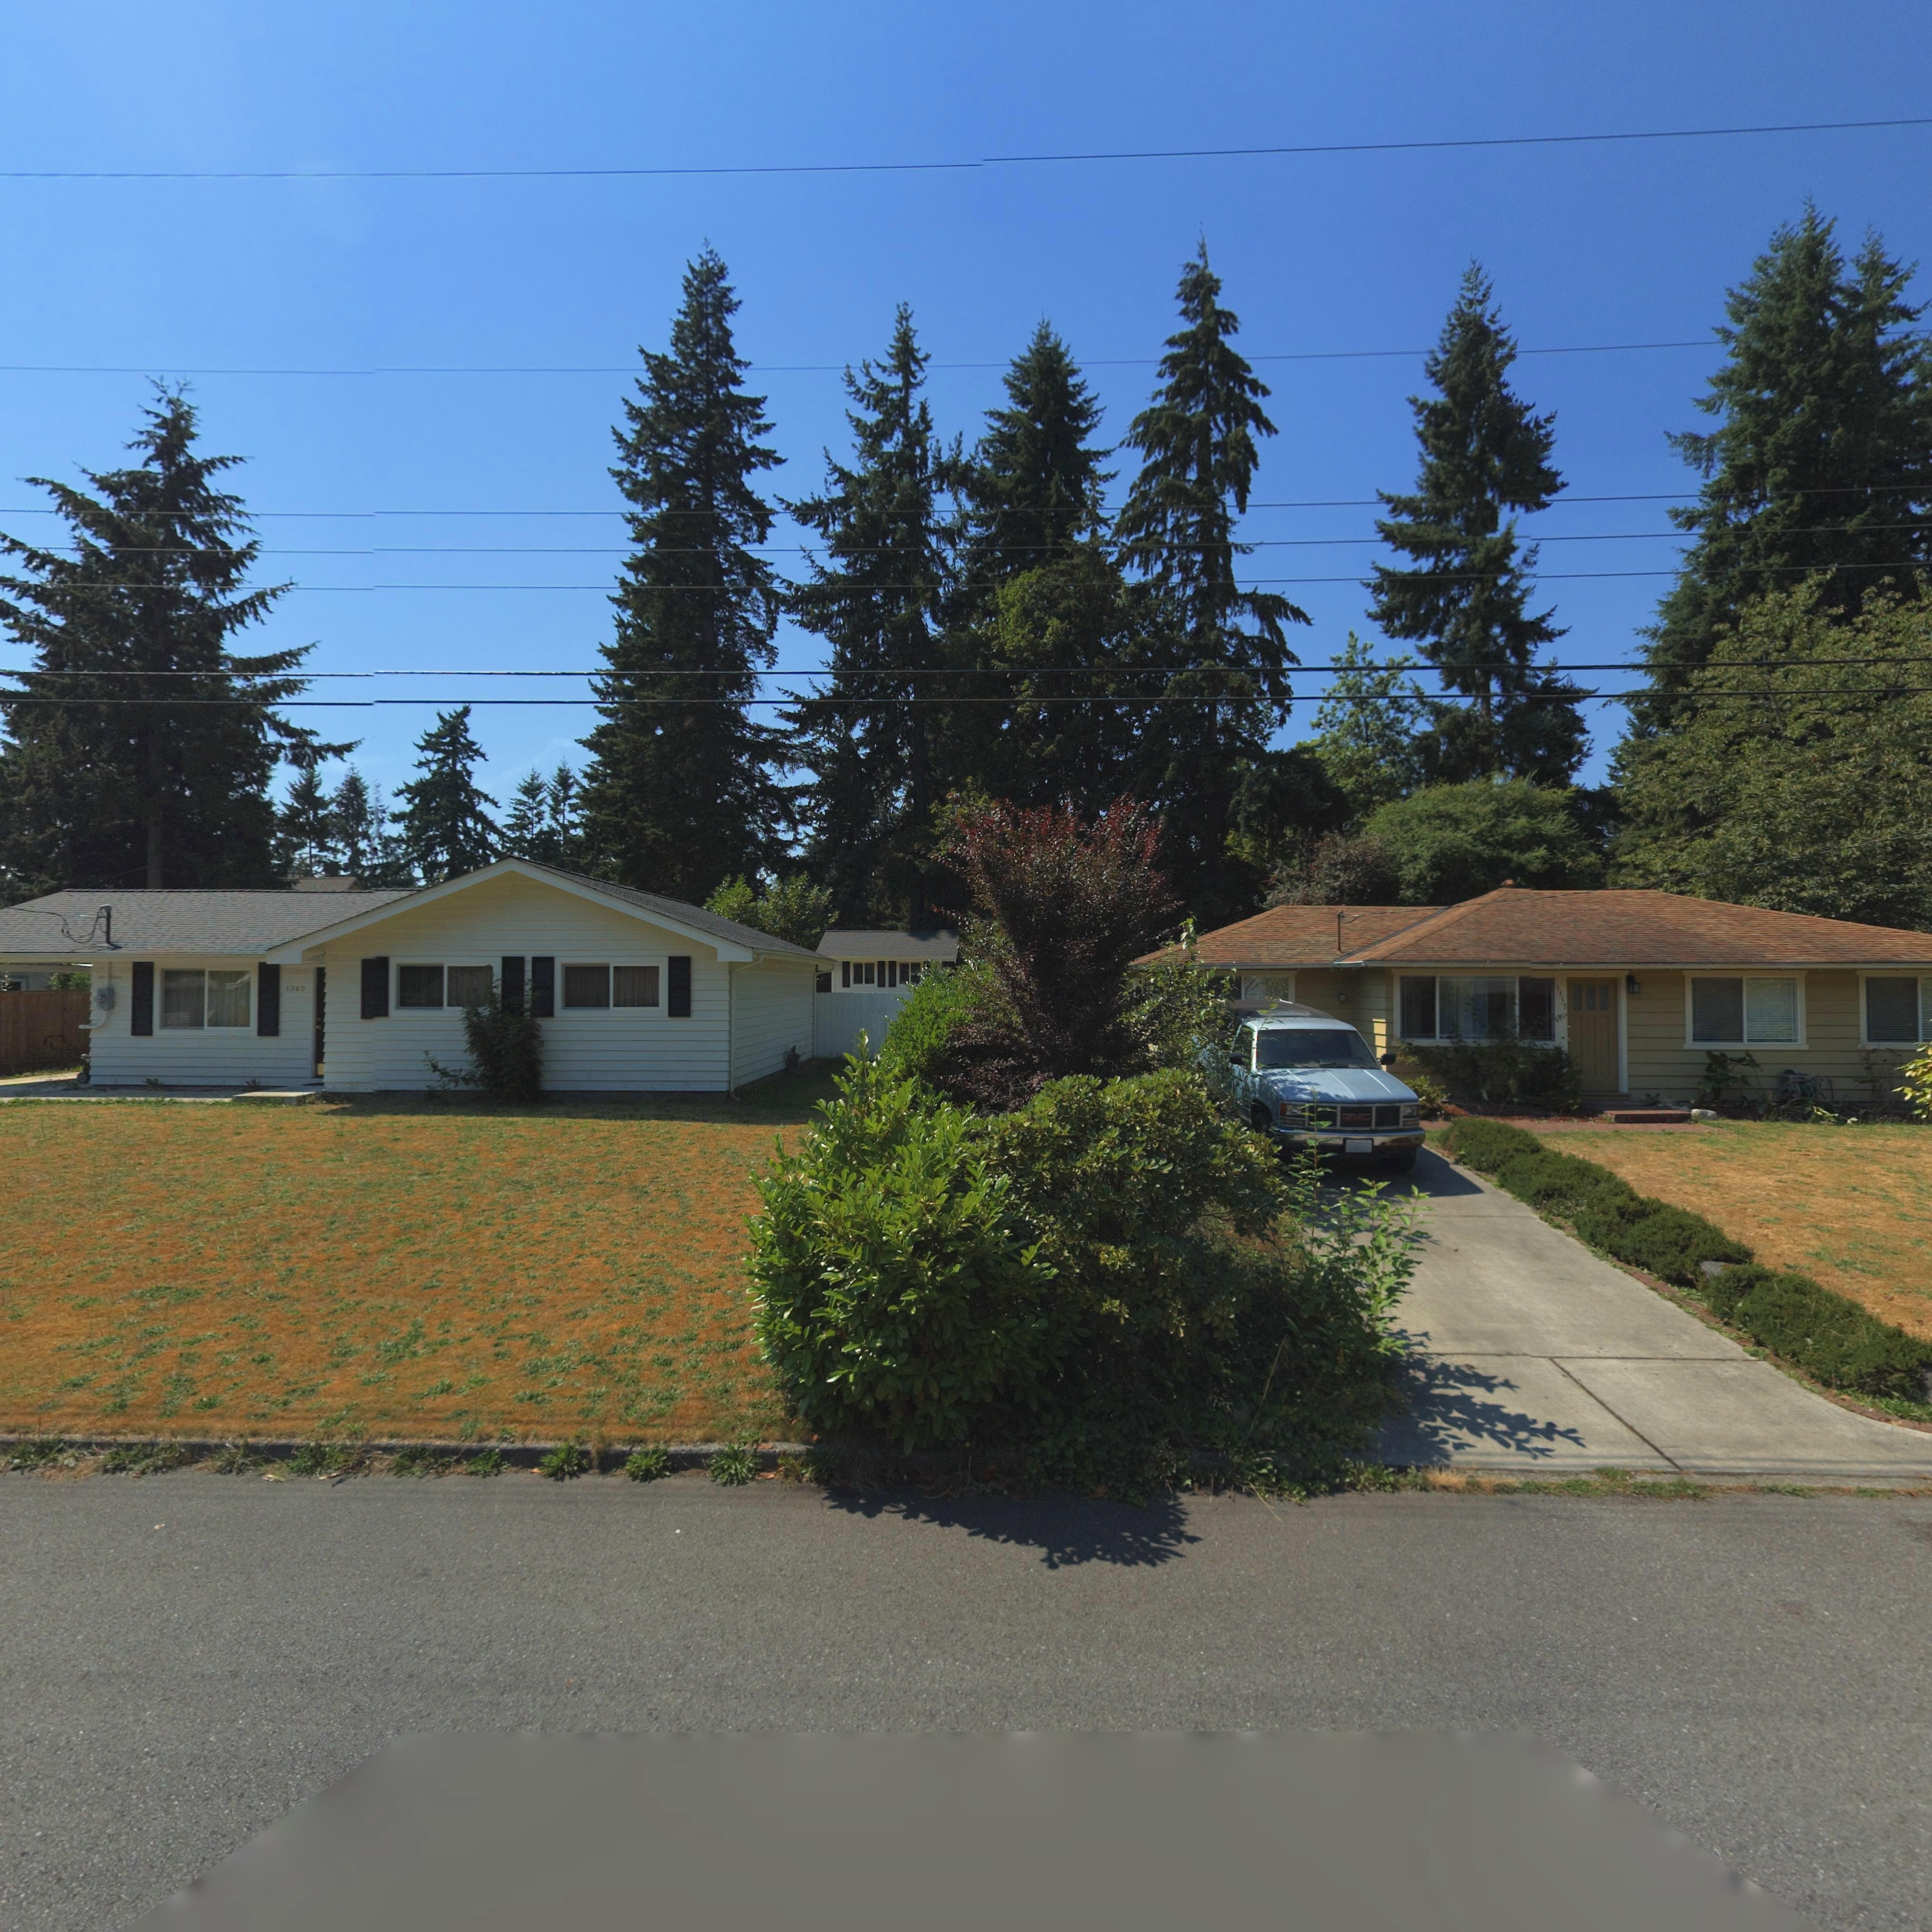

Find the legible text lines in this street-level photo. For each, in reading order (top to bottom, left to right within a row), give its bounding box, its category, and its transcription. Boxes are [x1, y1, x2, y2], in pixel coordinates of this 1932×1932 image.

[286, 985, 306, 992] StreetNumber: 1345
[1555, 982, 1567, 1011] StreetNumber: 1353